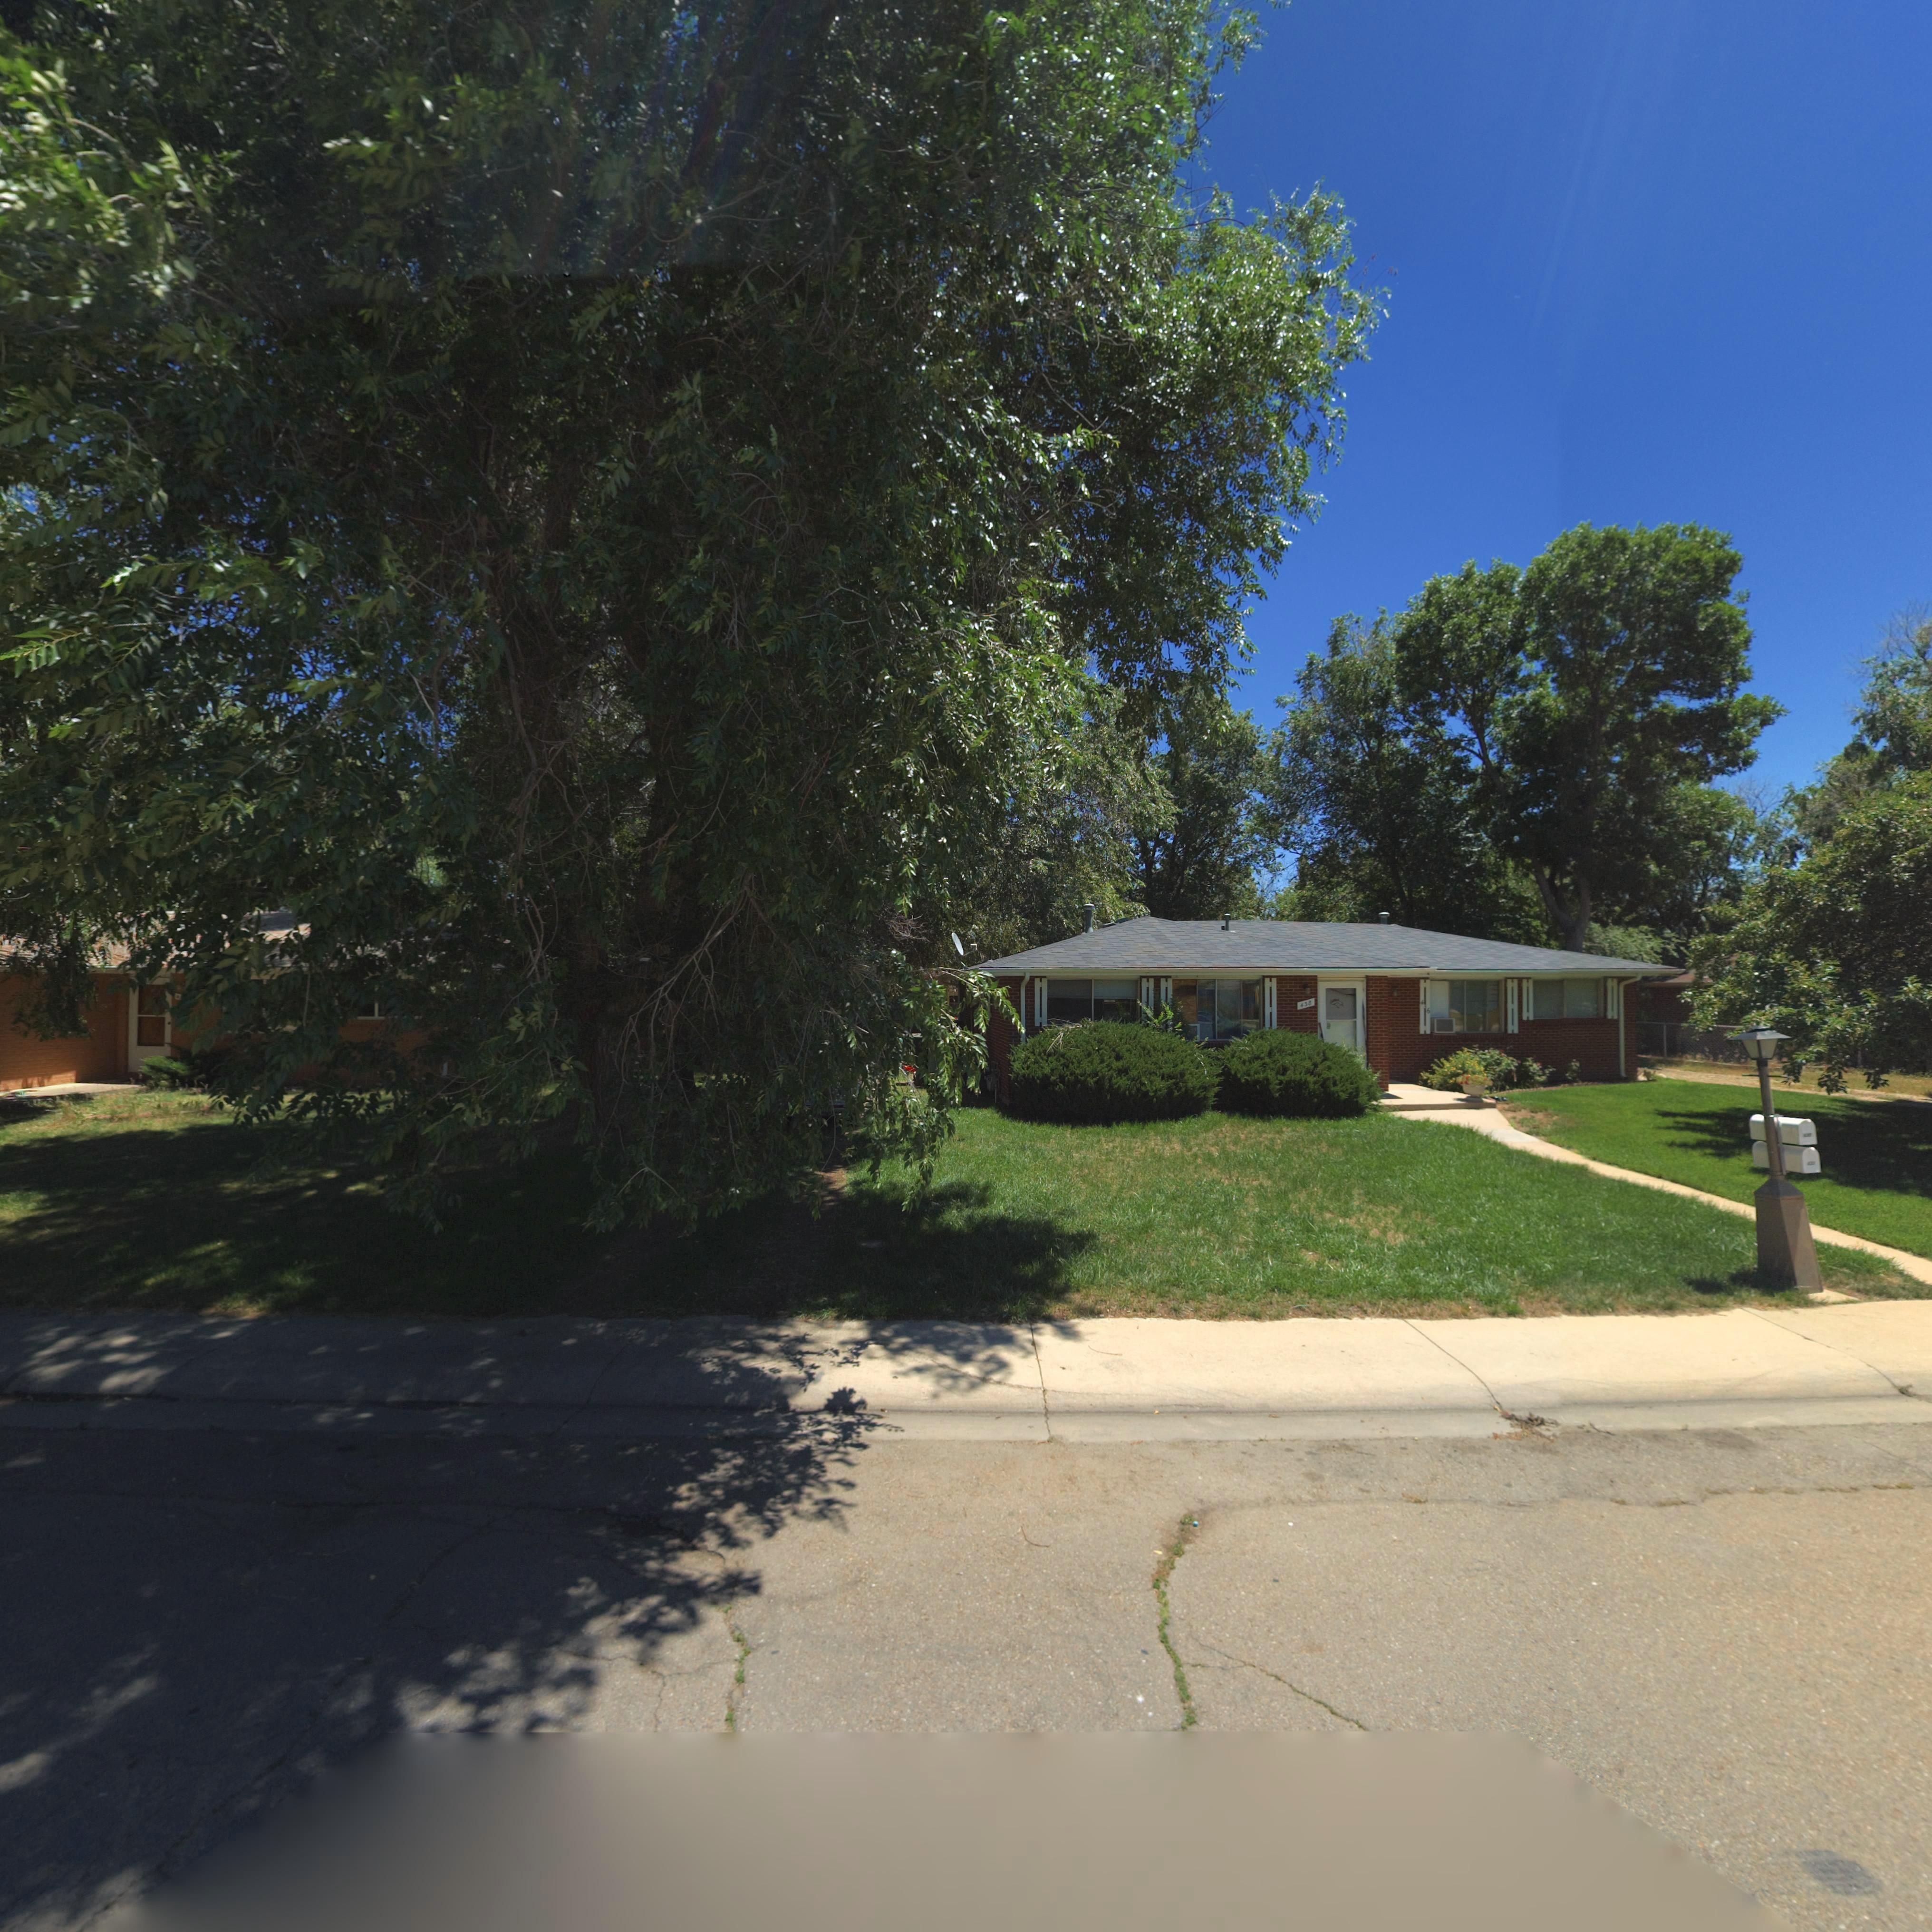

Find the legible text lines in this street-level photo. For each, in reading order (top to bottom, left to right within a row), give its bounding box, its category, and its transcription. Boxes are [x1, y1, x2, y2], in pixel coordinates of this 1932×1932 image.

[1299, 1000, 1312, 1007] StreetNumber: 435